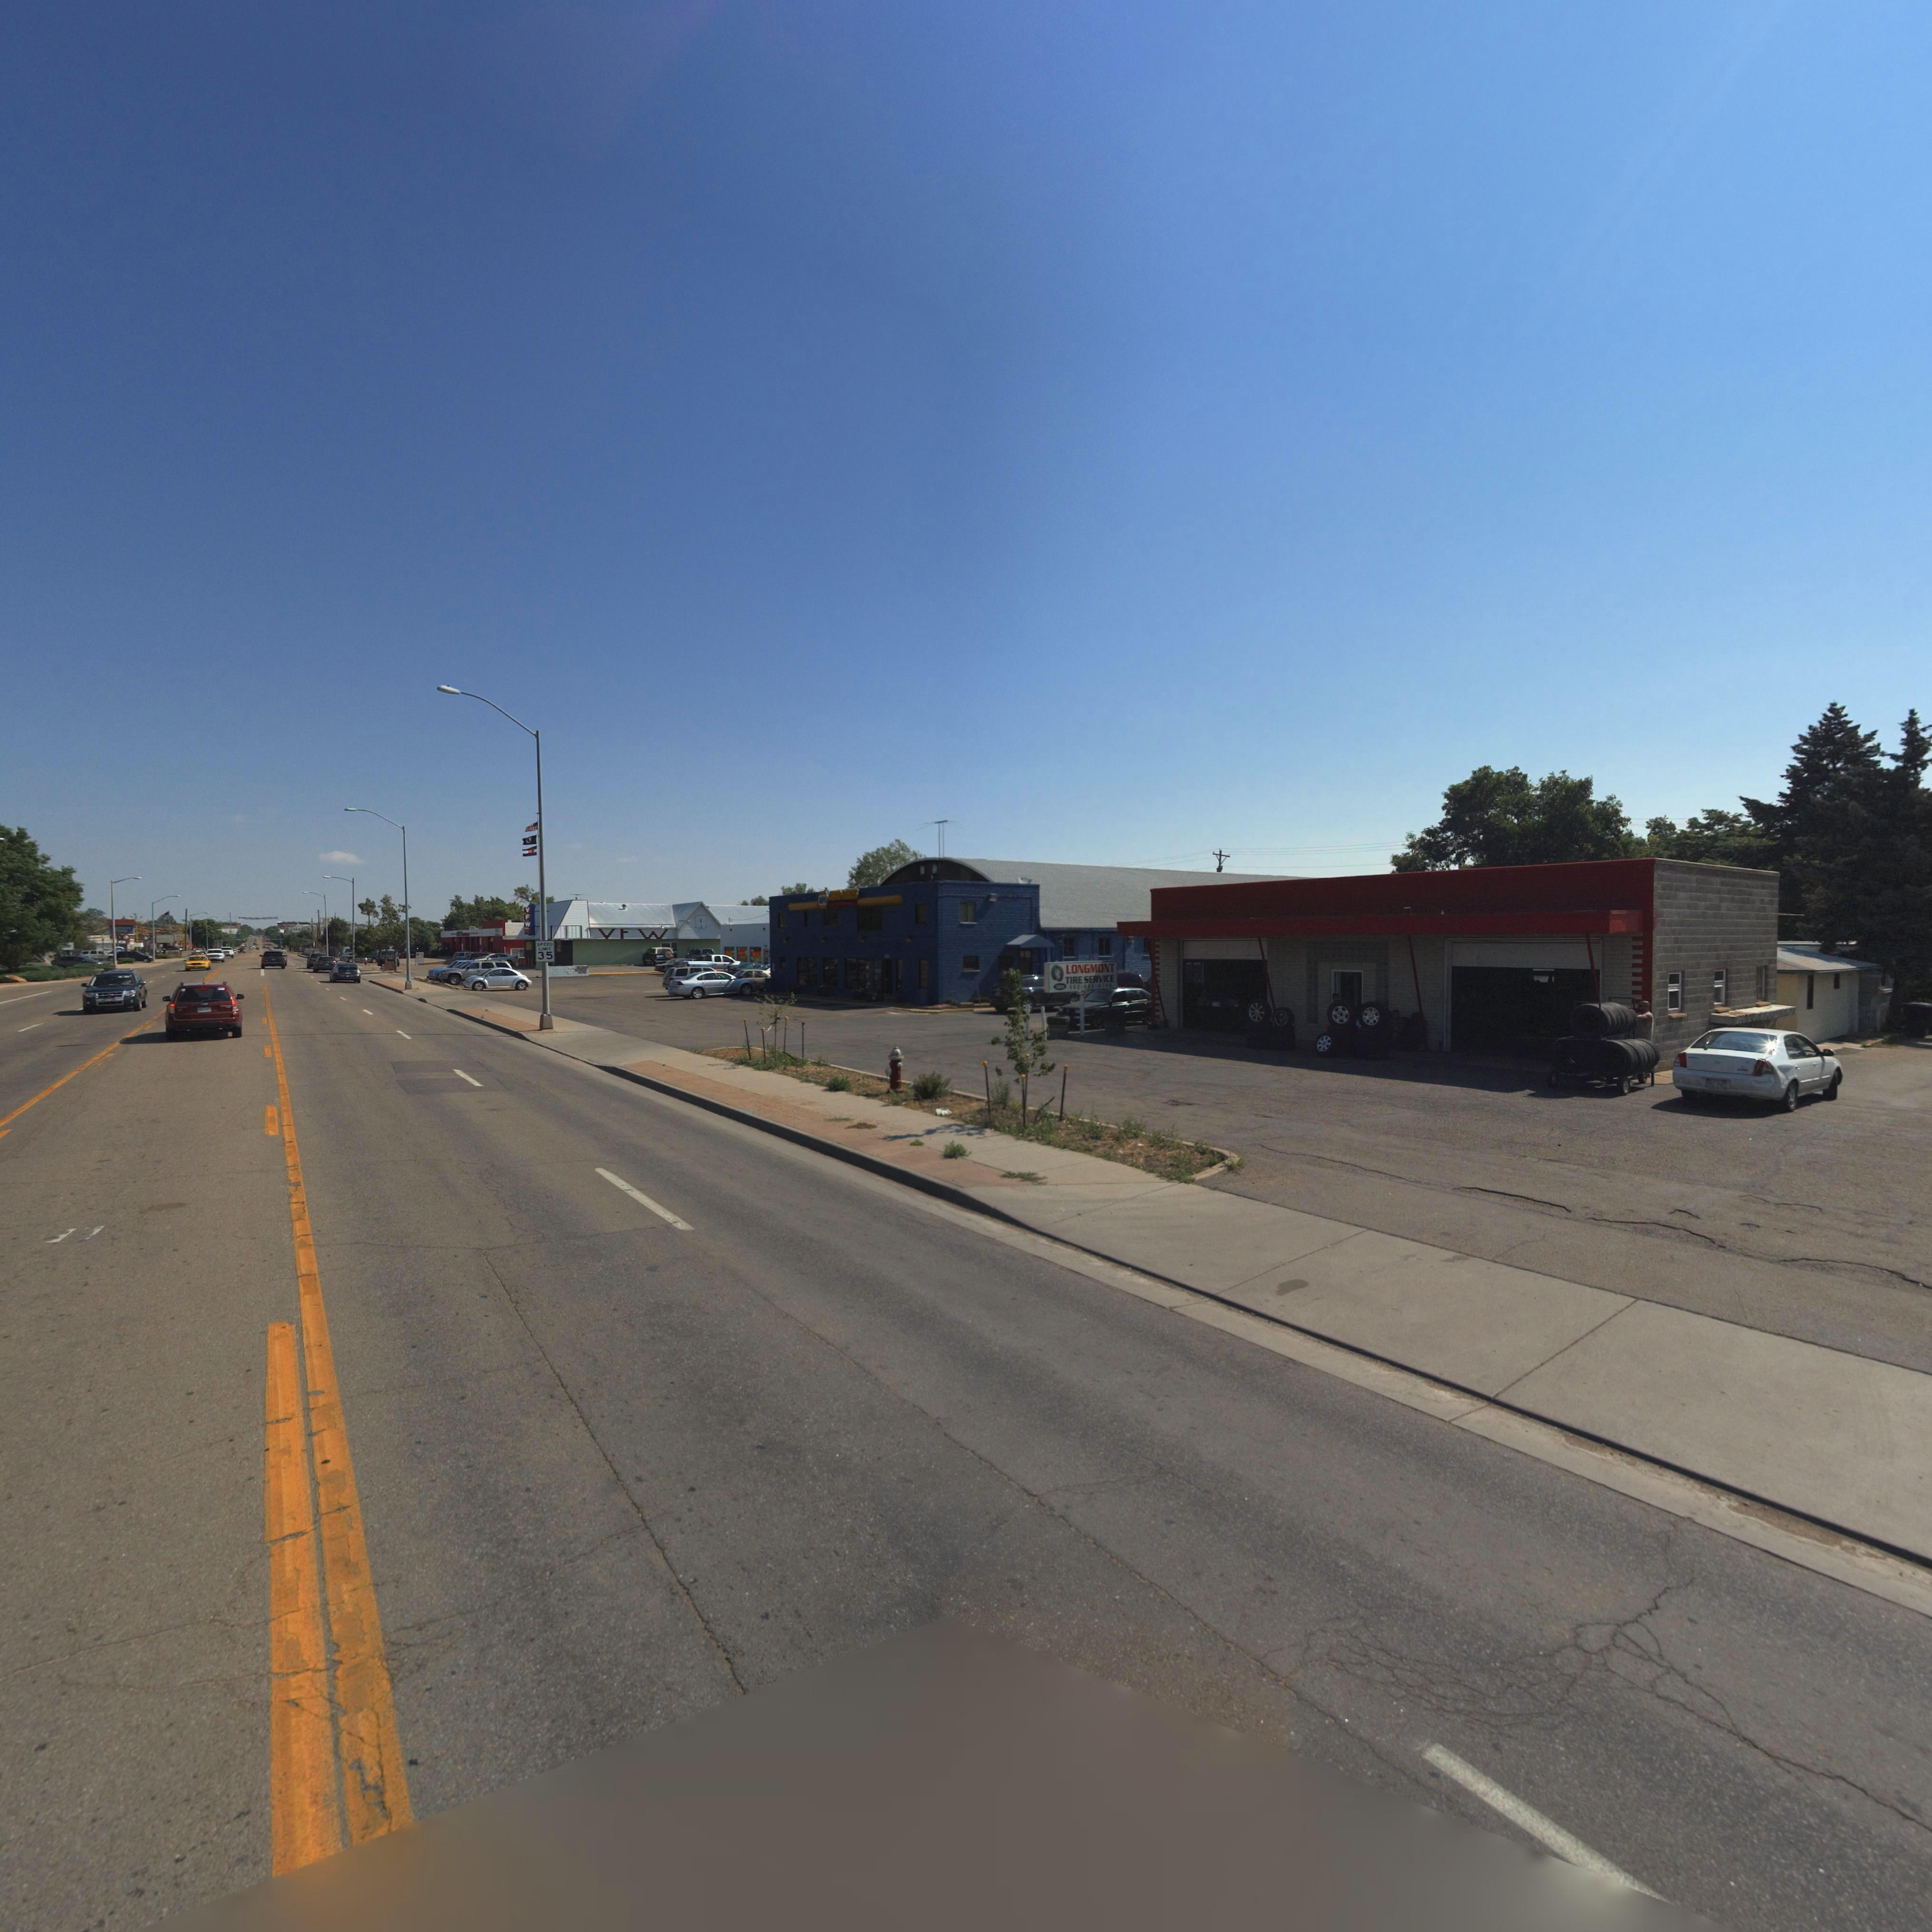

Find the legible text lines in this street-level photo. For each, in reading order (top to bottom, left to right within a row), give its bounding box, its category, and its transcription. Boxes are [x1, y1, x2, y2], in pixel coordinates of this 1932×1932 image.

[818, 895, 826, 905] BusinessName: **PA
[827, 888, 859, 901] BusinessName: AUTO PARTS
[524, 907, 531, 927] BusinessName: VFW
[596, 928, 668, 939] BusinessName: VFW
[1065, 963, 1115, 974] BusinessName: LONGMONT
[1063, 974, 1114, 985] BusinessName: TIRE SERVICE